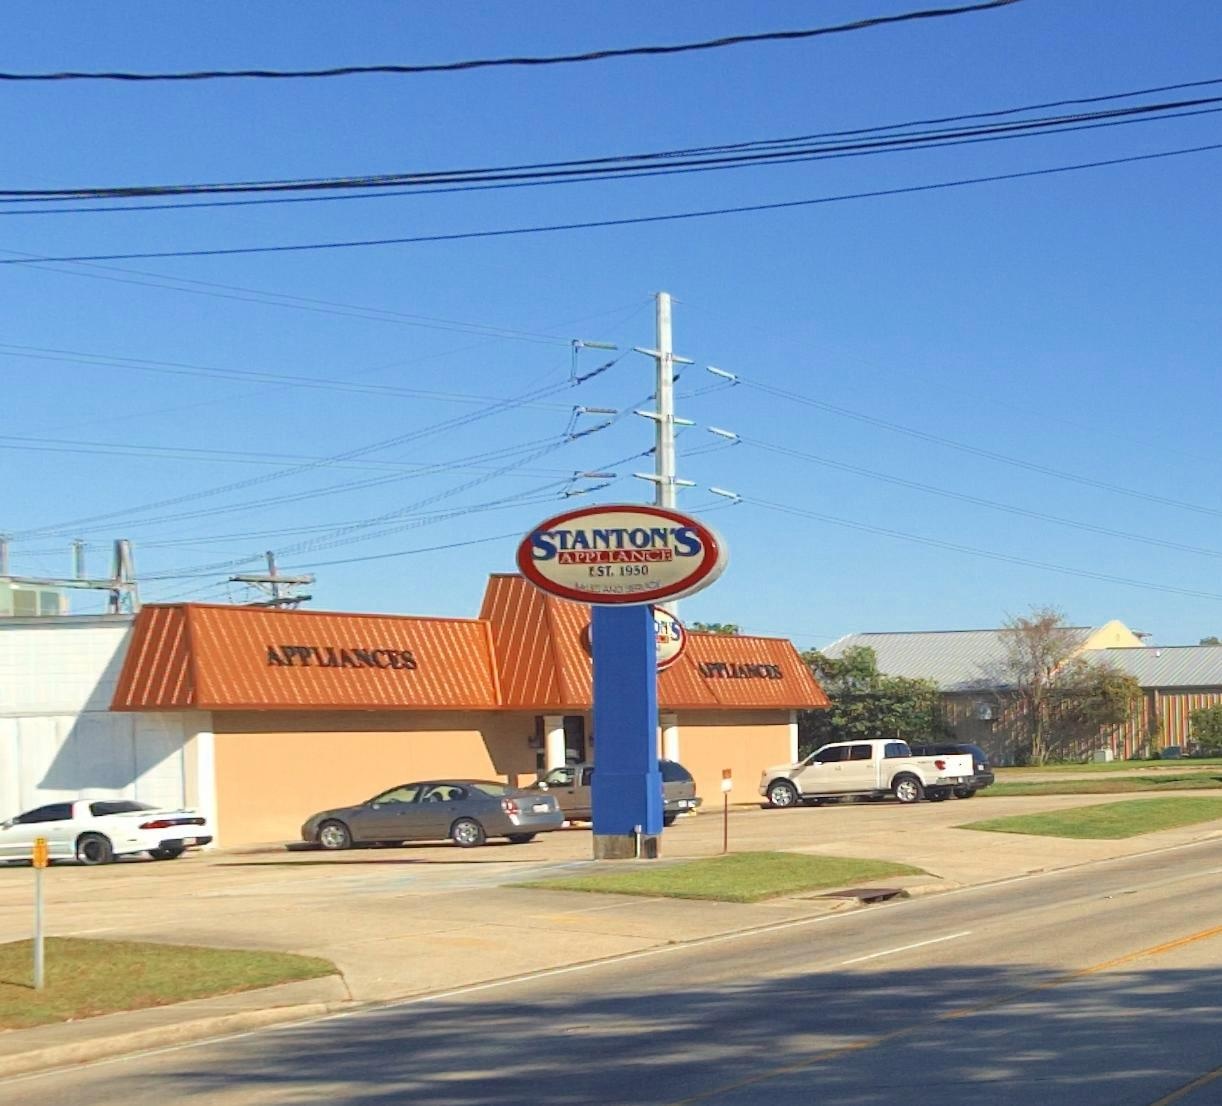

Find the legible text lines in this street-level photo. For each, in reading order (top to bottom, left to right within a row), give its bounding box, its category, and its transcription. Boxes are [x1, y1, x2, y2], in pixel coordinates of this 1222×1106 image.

[530, 525, 703, 561] BusinessName: STANTON'S
[558, 549, 672, 564] BusinessName: APPLIANCE
[587, 564, 650, 578] None: EST. 1950
[659, 619, 682, 642] BusinessName: N'S
[265, 644, 418, 671] None: APPLIANCES
[696, 661, 785, 682] None: *PPLIANCES